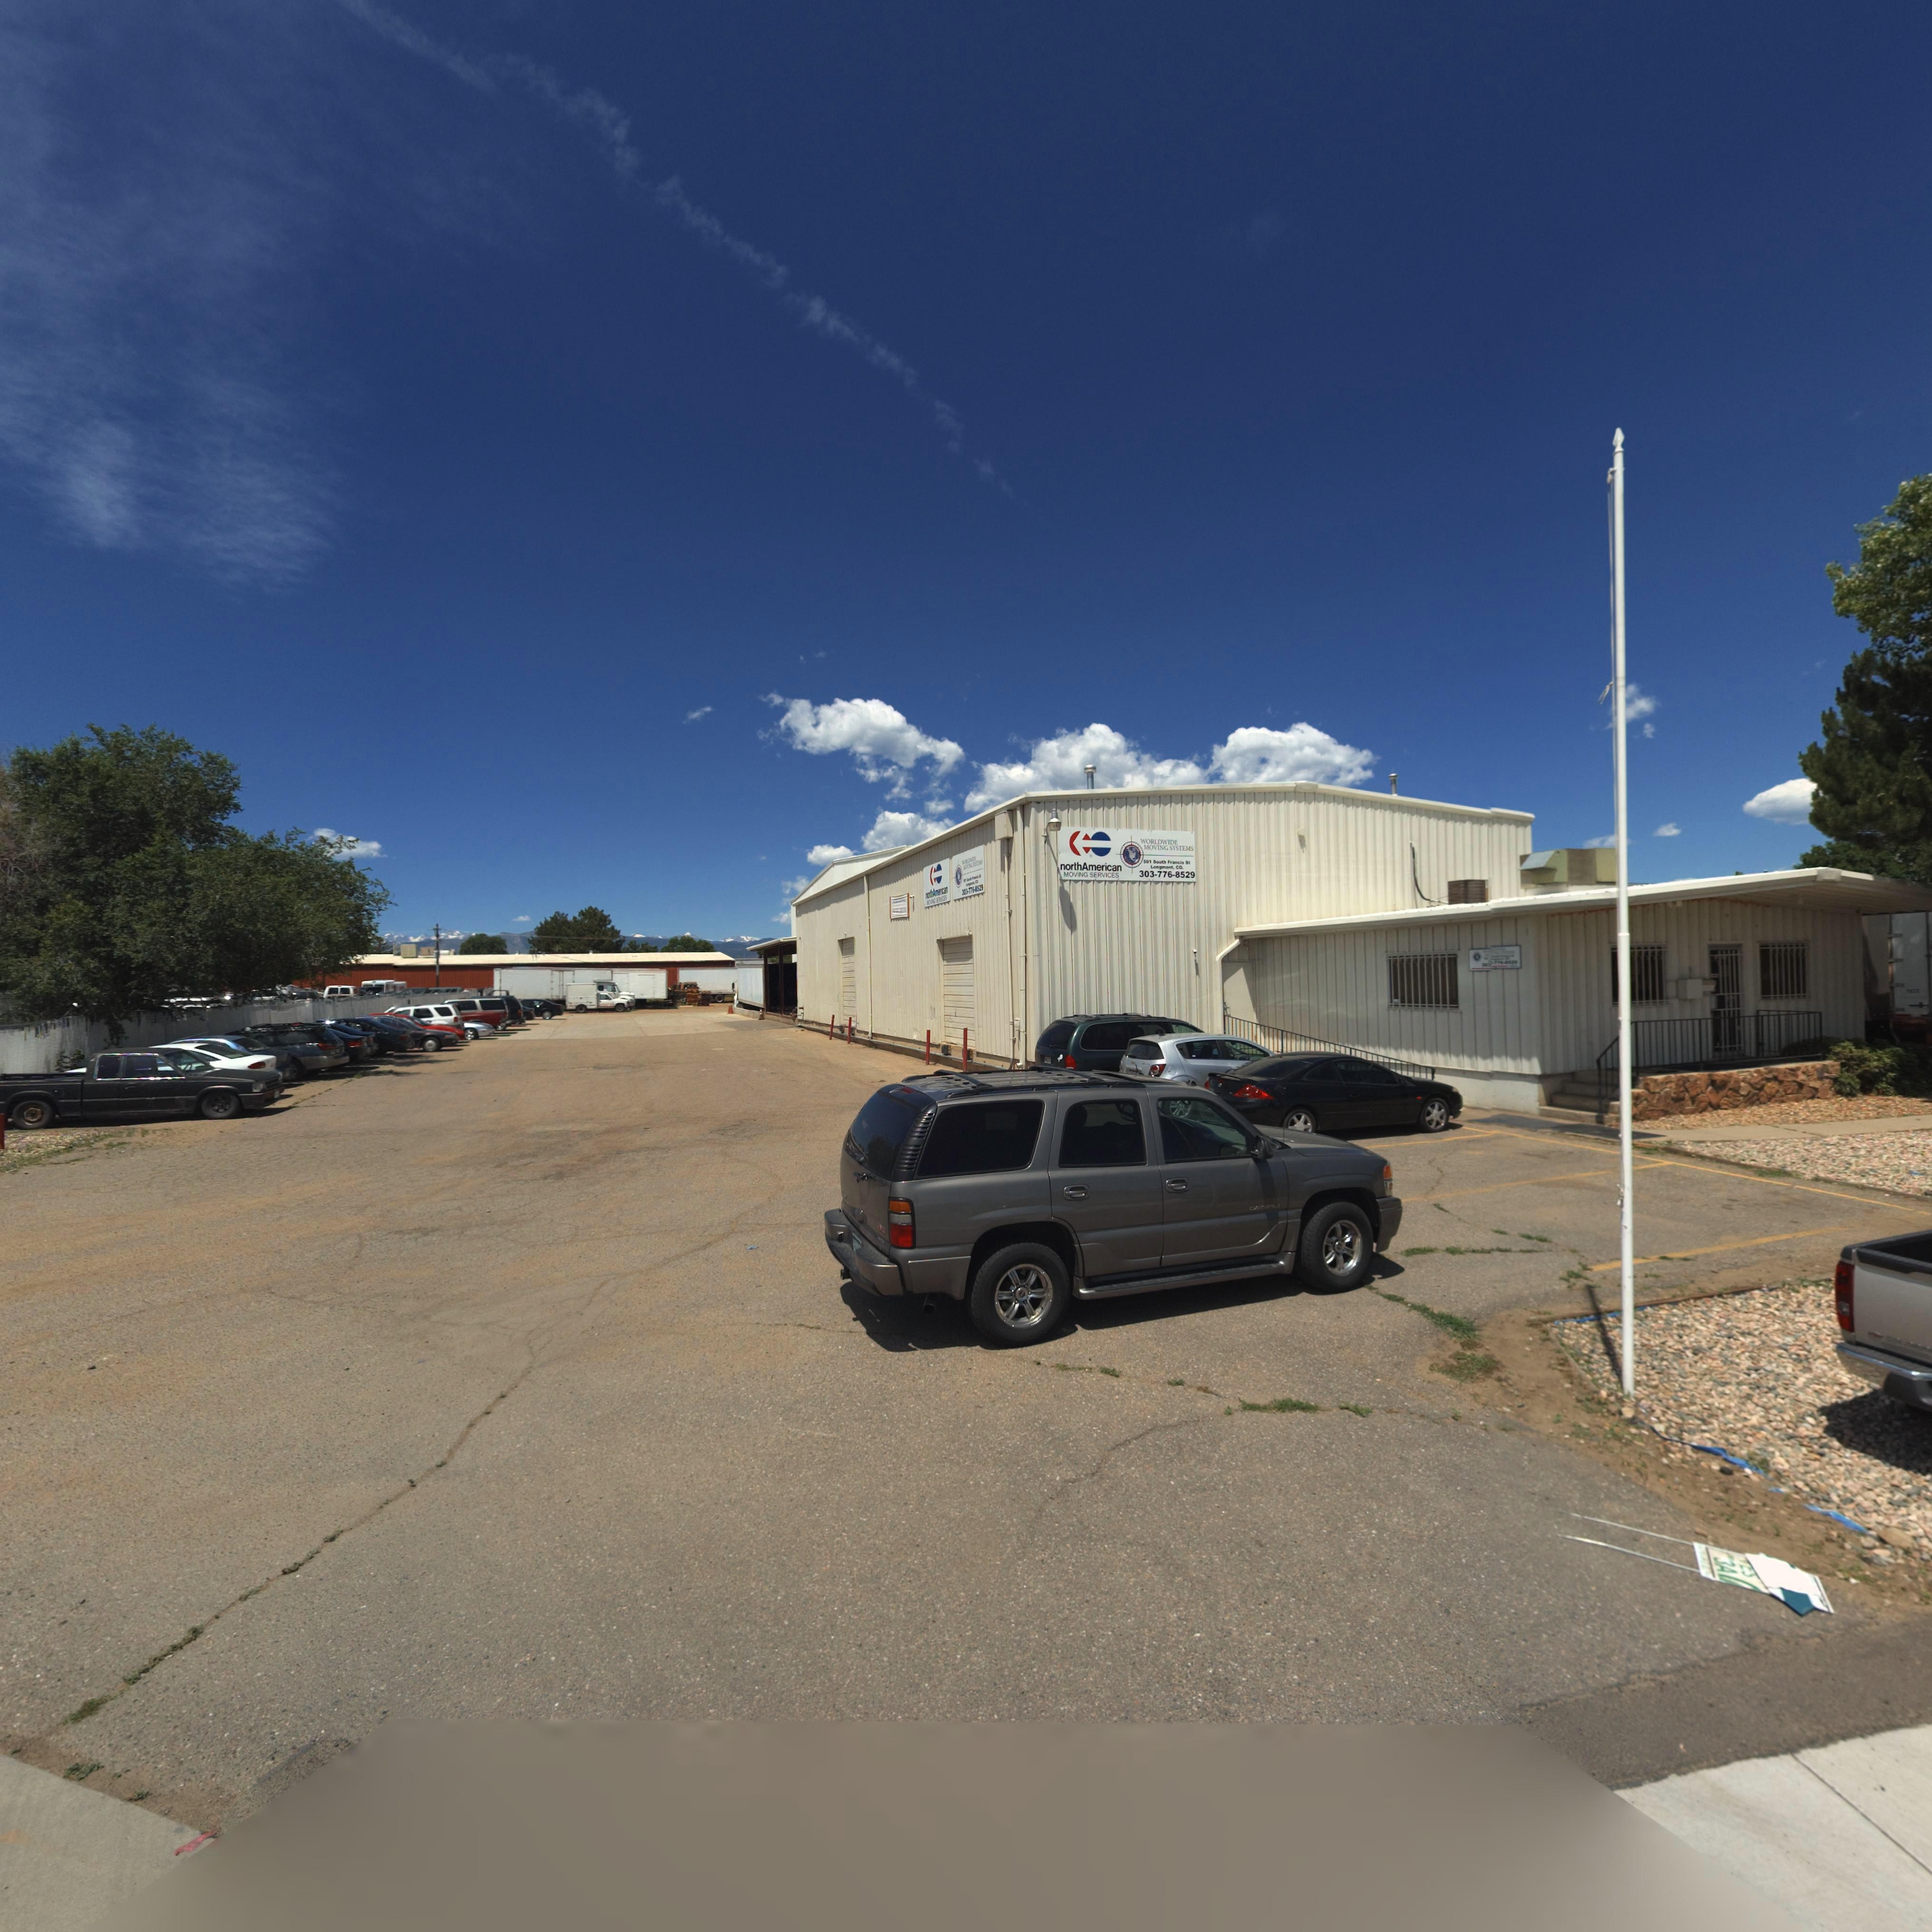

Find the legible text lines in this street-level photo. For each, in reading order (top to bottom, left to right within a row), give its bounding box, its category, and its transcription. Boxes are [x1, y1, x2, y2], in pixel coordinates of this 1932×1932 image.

[1140, 838, 1178, 845] BusinessName: WORLDWIDE
[1143, 844, 1194, 851] BusinessName: MOVING SYSTEMS
[961, 855, 976, 865] BusinessName: WOR*D **DE
[963, 859, 983, 870] BusinessName: ****ING SERV***2
[1059, 861, 1122, 871] BusinessName: northAmerican
[1143, 859, 1152, 864] StreetNumber: 501
[1153, 860, 1190, 864] StreetName: Sout* Francis St
[1063, 871, 1120, 878] BusinessName: MOVING SERVICES
[925, 886, 948, 899] BusinessName: northAm*r*can
[926, 895, 947, 906] BusinessName: MOVING SER**CES